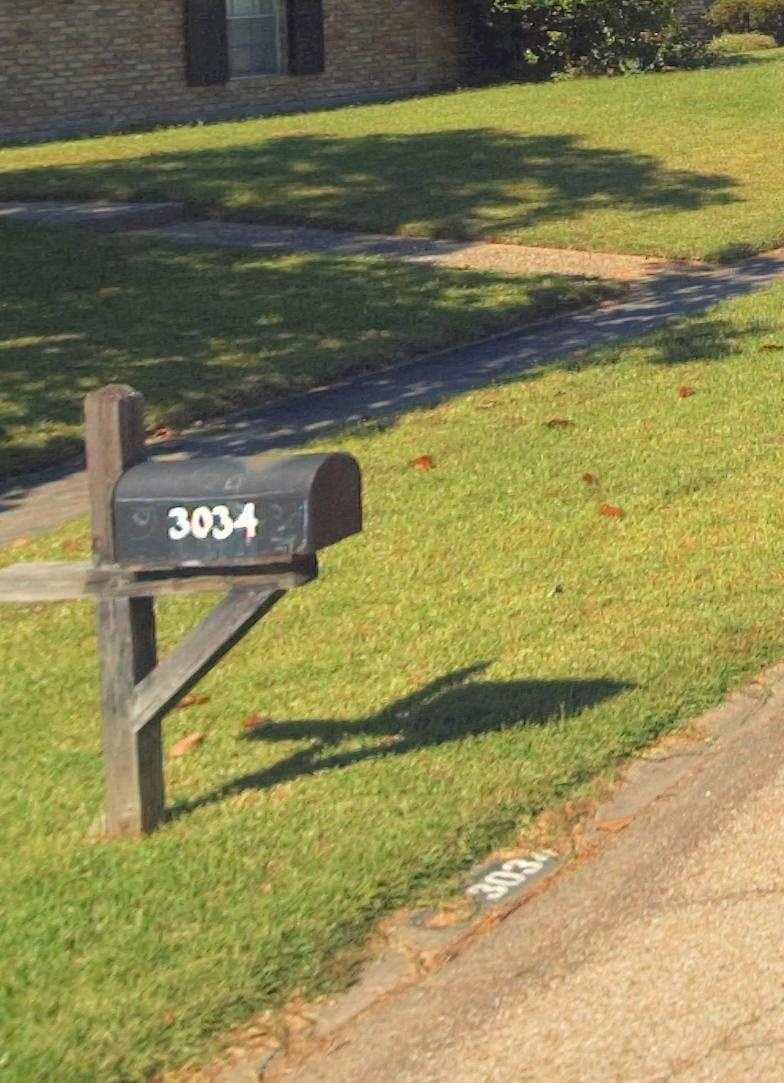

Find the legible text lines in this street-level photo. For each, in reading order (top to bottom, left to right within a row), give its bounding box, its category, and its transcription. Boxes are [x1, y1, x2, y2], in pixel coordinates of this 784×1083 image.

[164, 498, 263, 545] StreetNumber: 3034
[456, 855, 549, 906] StreetNumber: 303